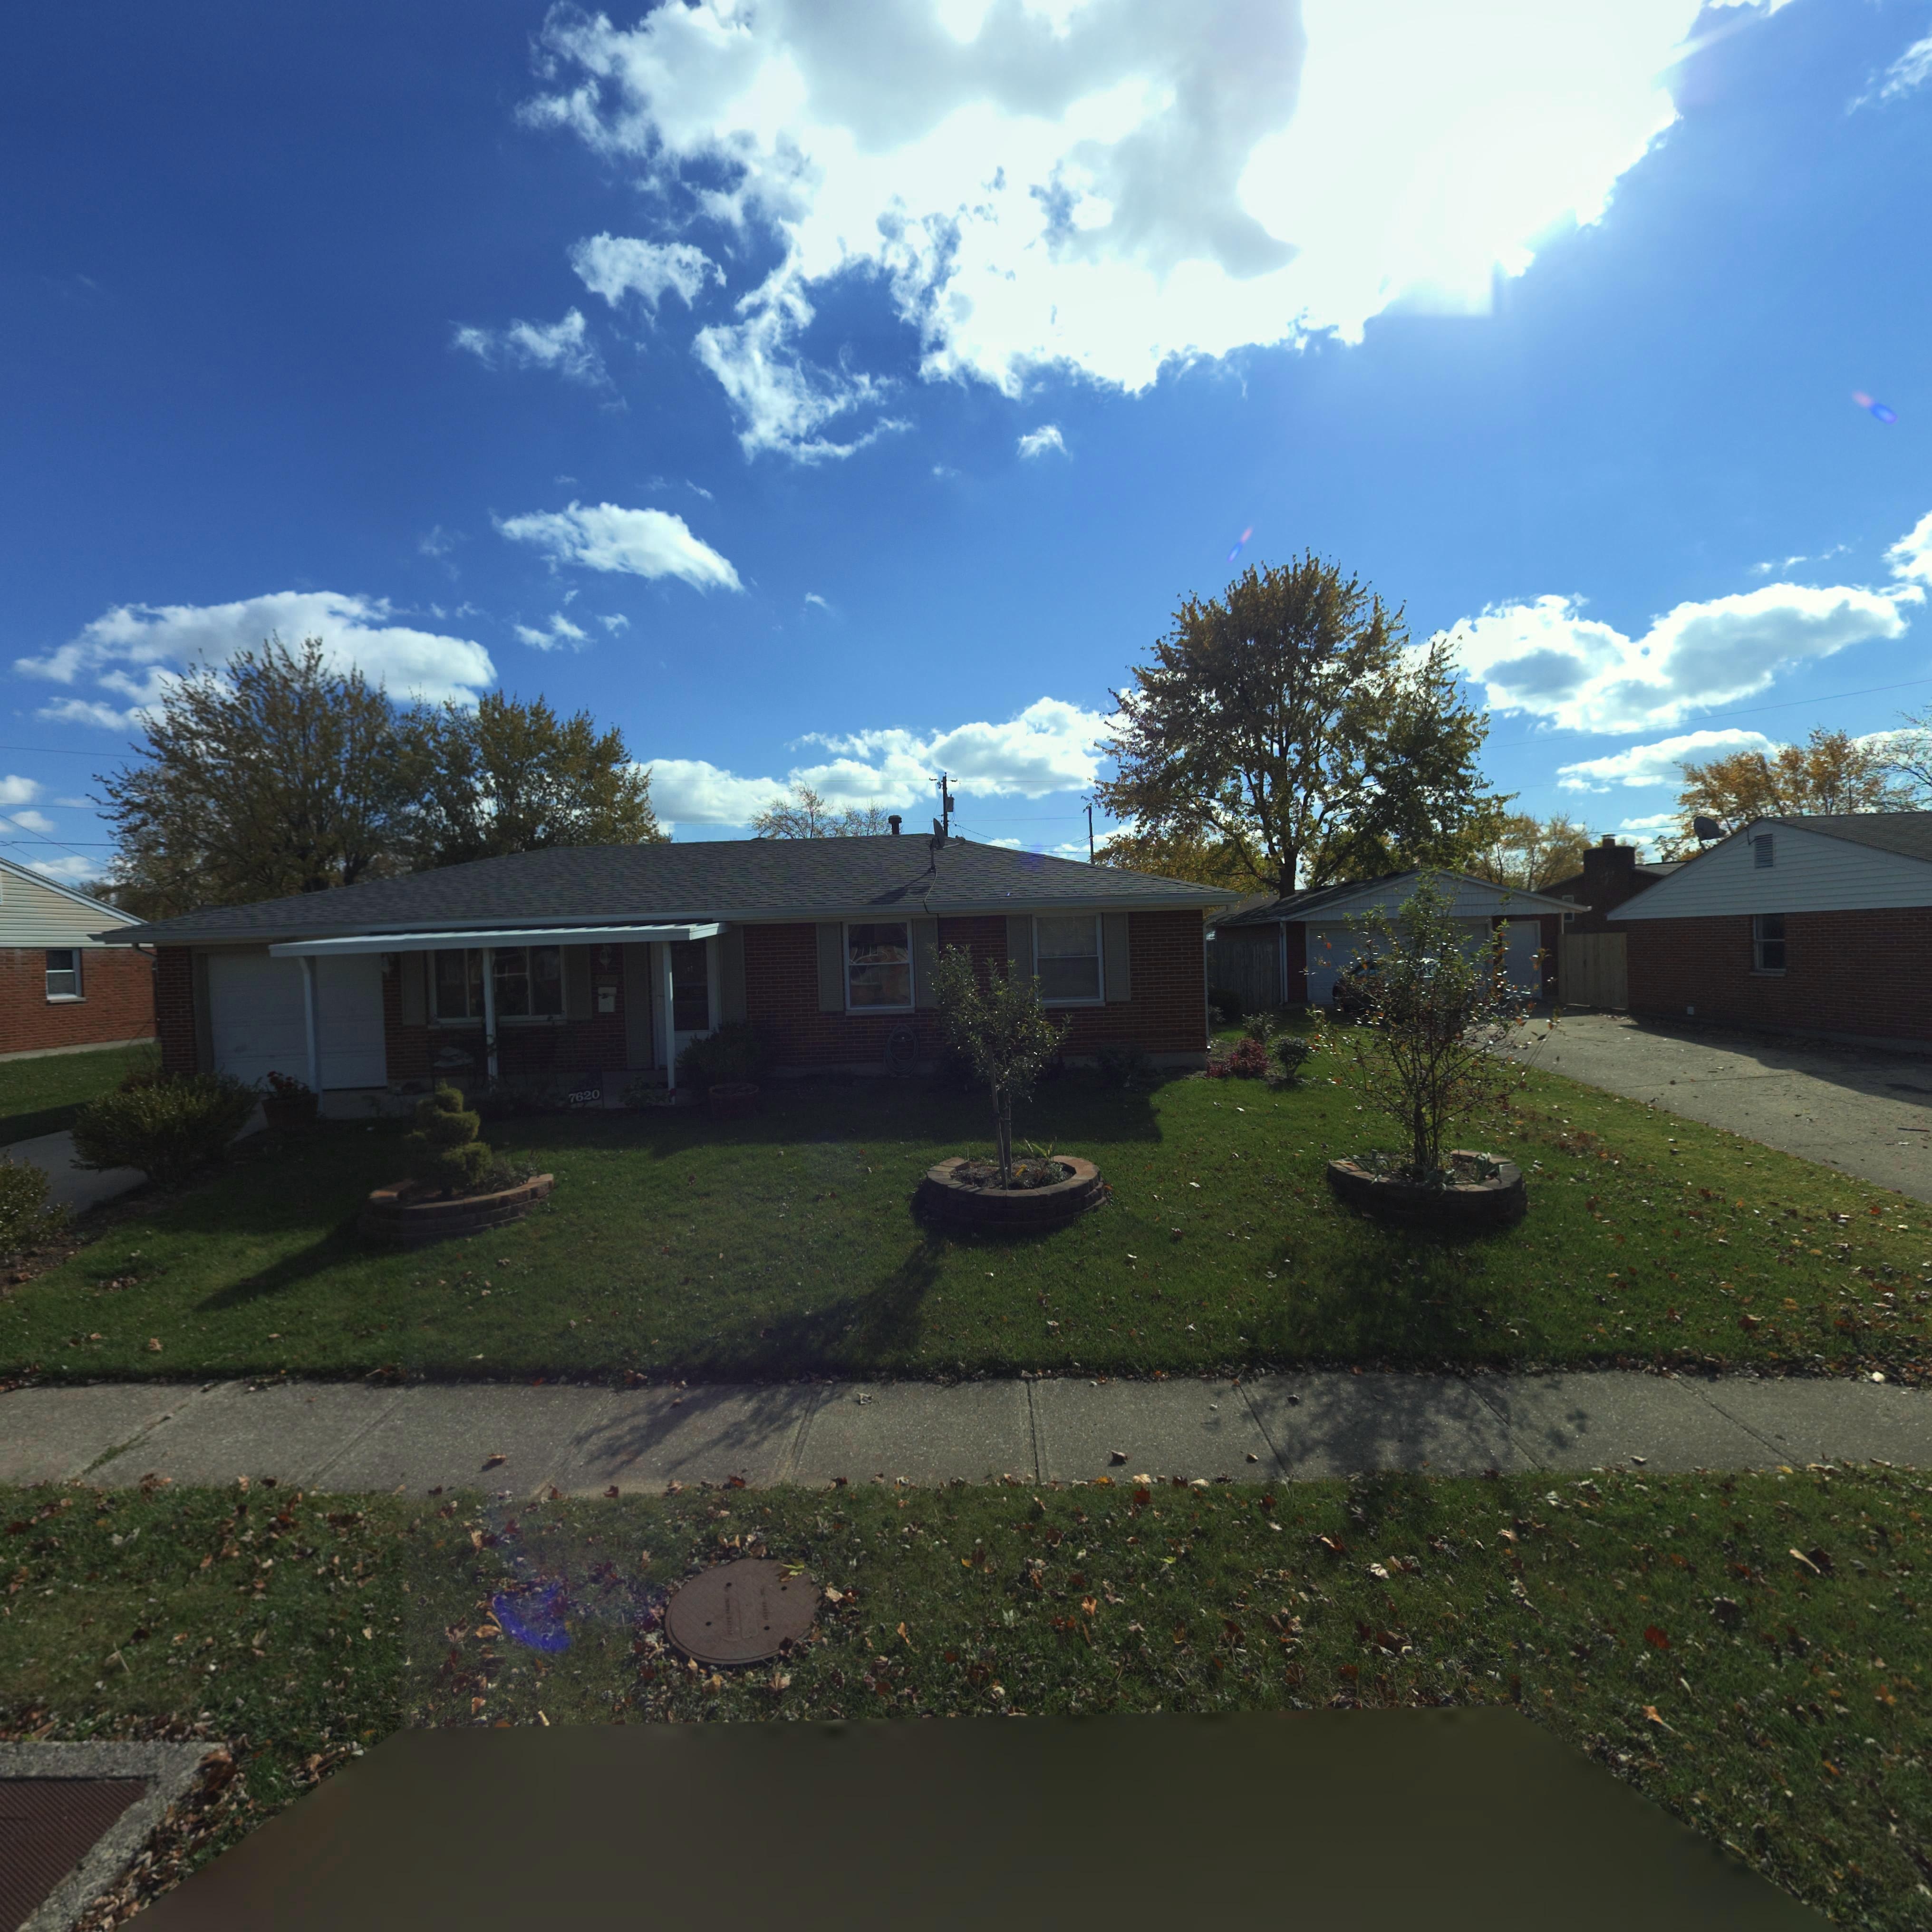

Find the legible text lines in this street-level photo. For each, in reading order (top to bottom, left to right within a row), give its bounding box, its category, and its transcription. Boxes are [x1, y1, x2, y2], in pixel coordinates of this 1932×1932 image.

[568, 1089, 601, 1104] StreetNumber: 7620